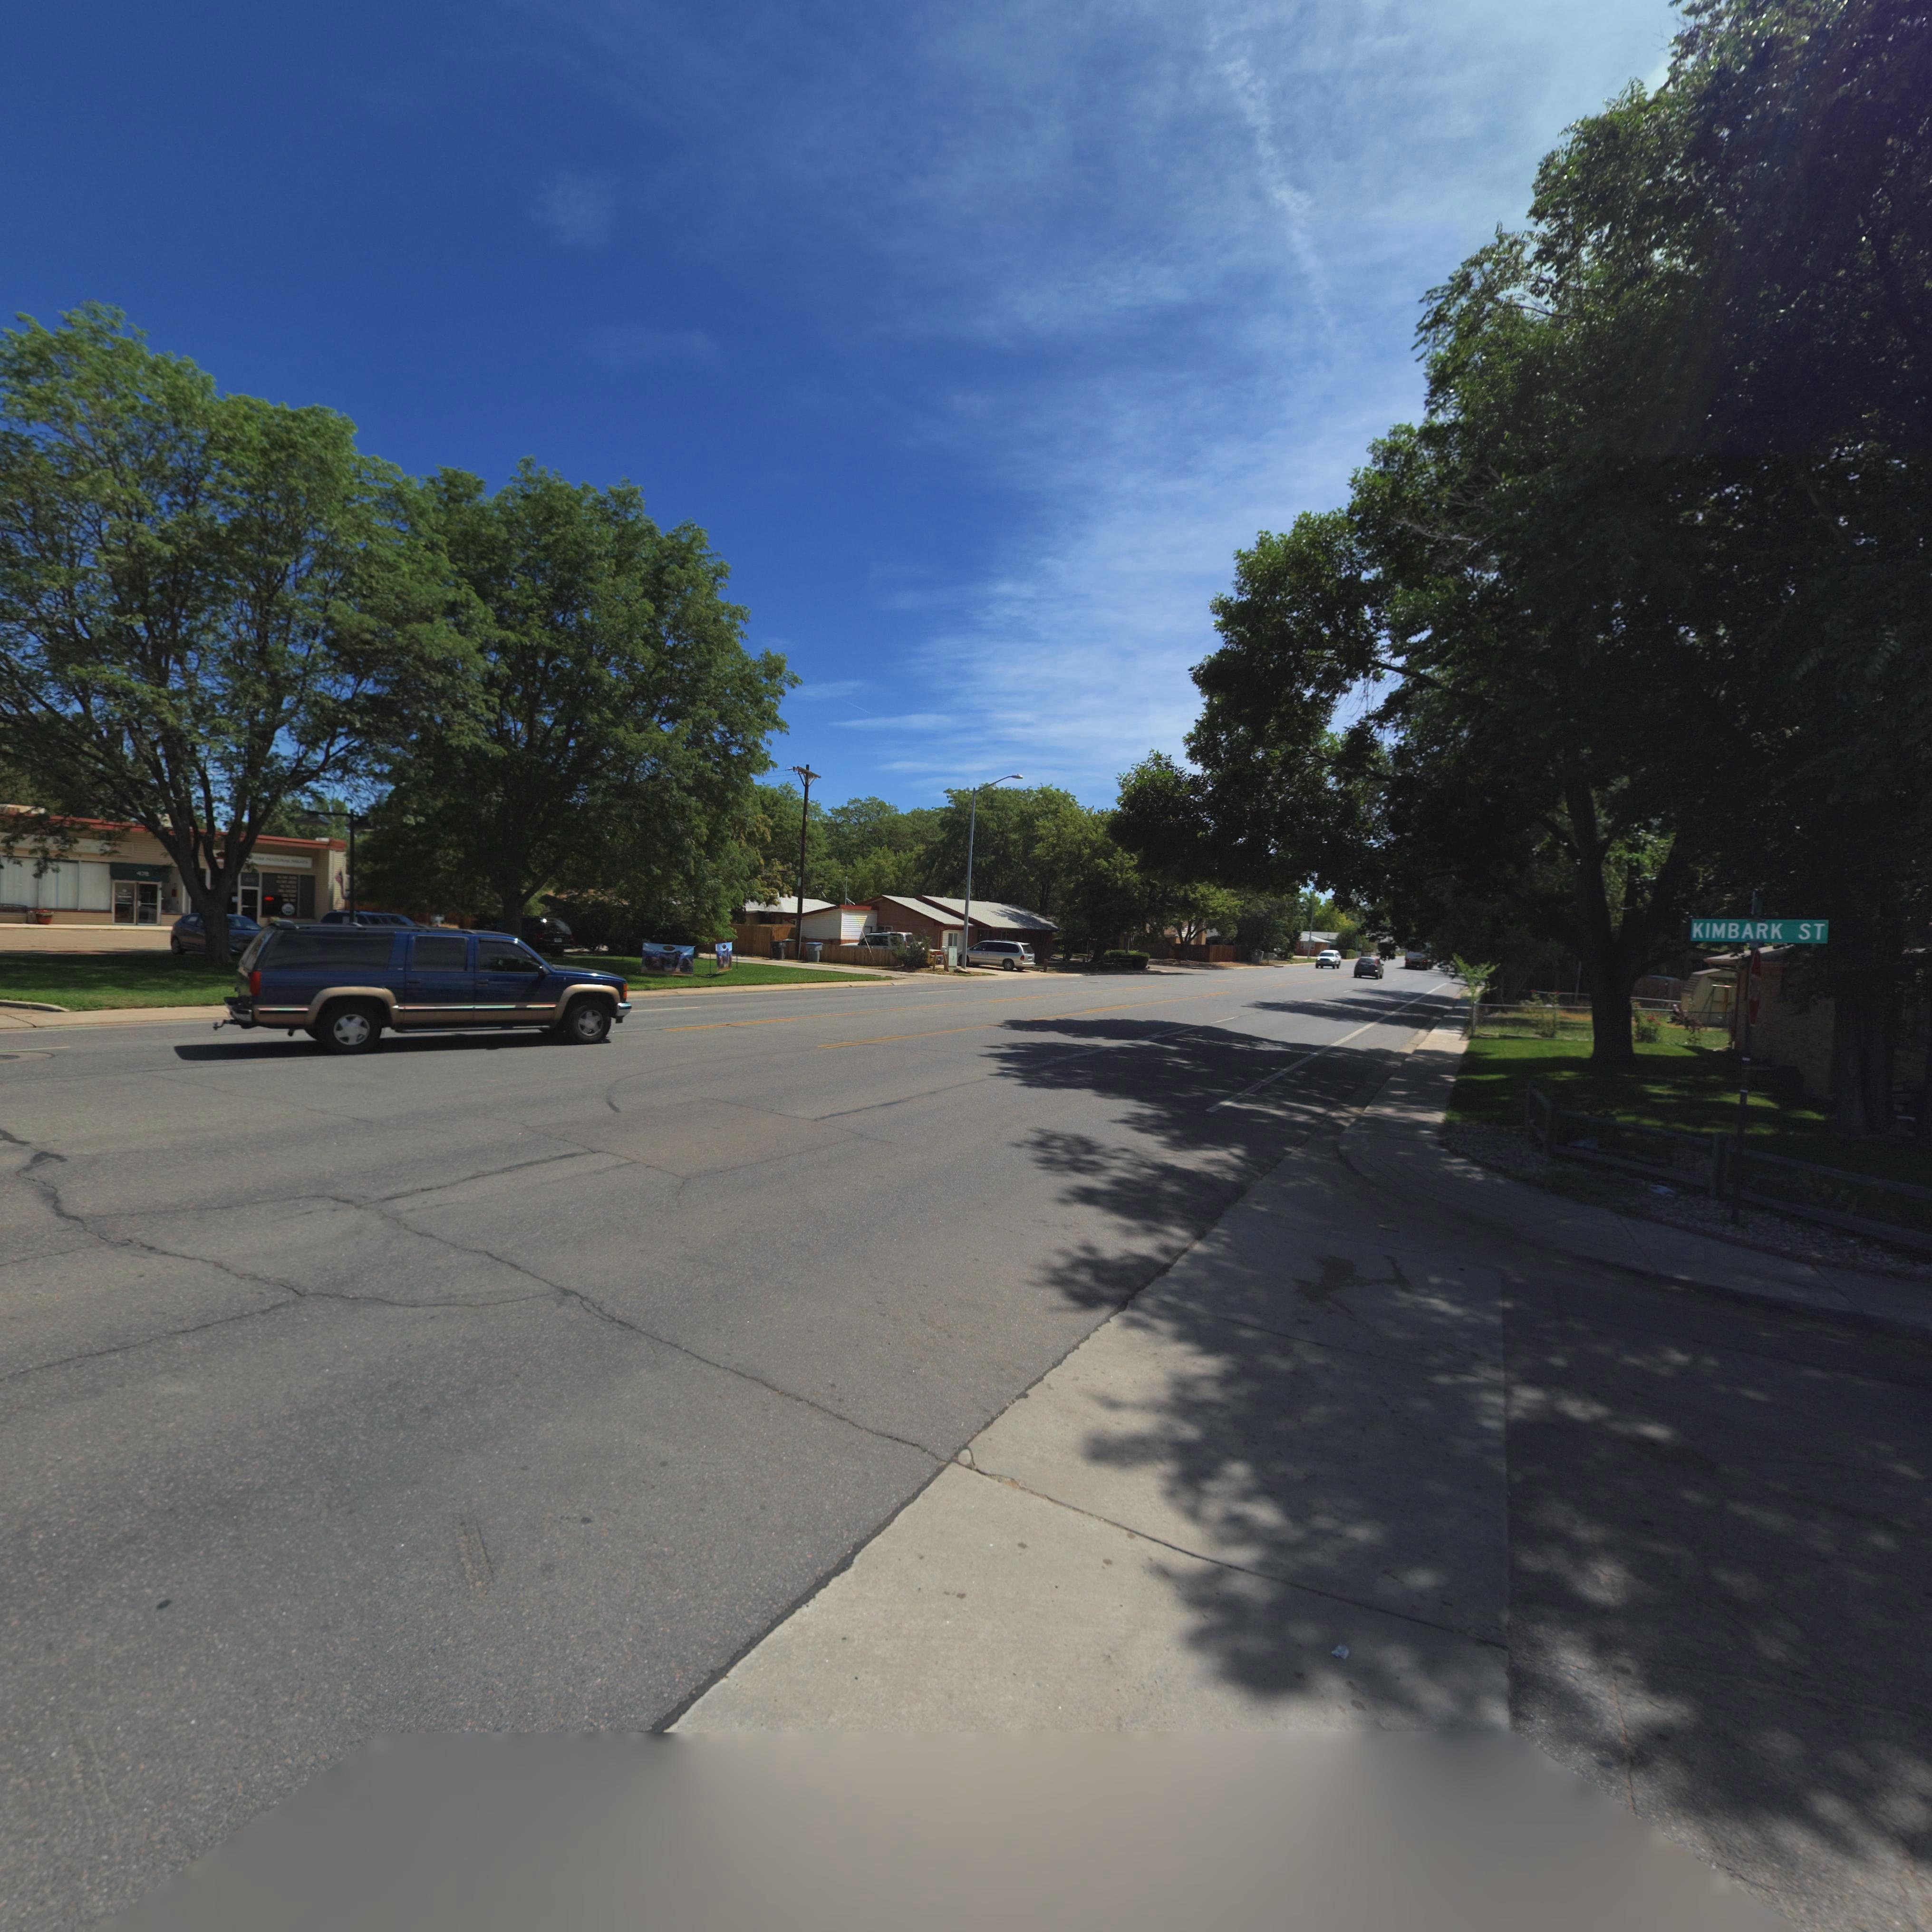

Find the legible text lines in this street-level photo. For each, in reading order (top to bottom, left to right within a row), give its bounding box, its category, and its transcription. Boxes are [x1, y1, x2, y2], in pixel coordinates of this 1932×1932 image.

[135, 870, 150, 877] StreetNumber: 478
[1692, 921, 1826, 940] BusinessName: KIMBARK ST